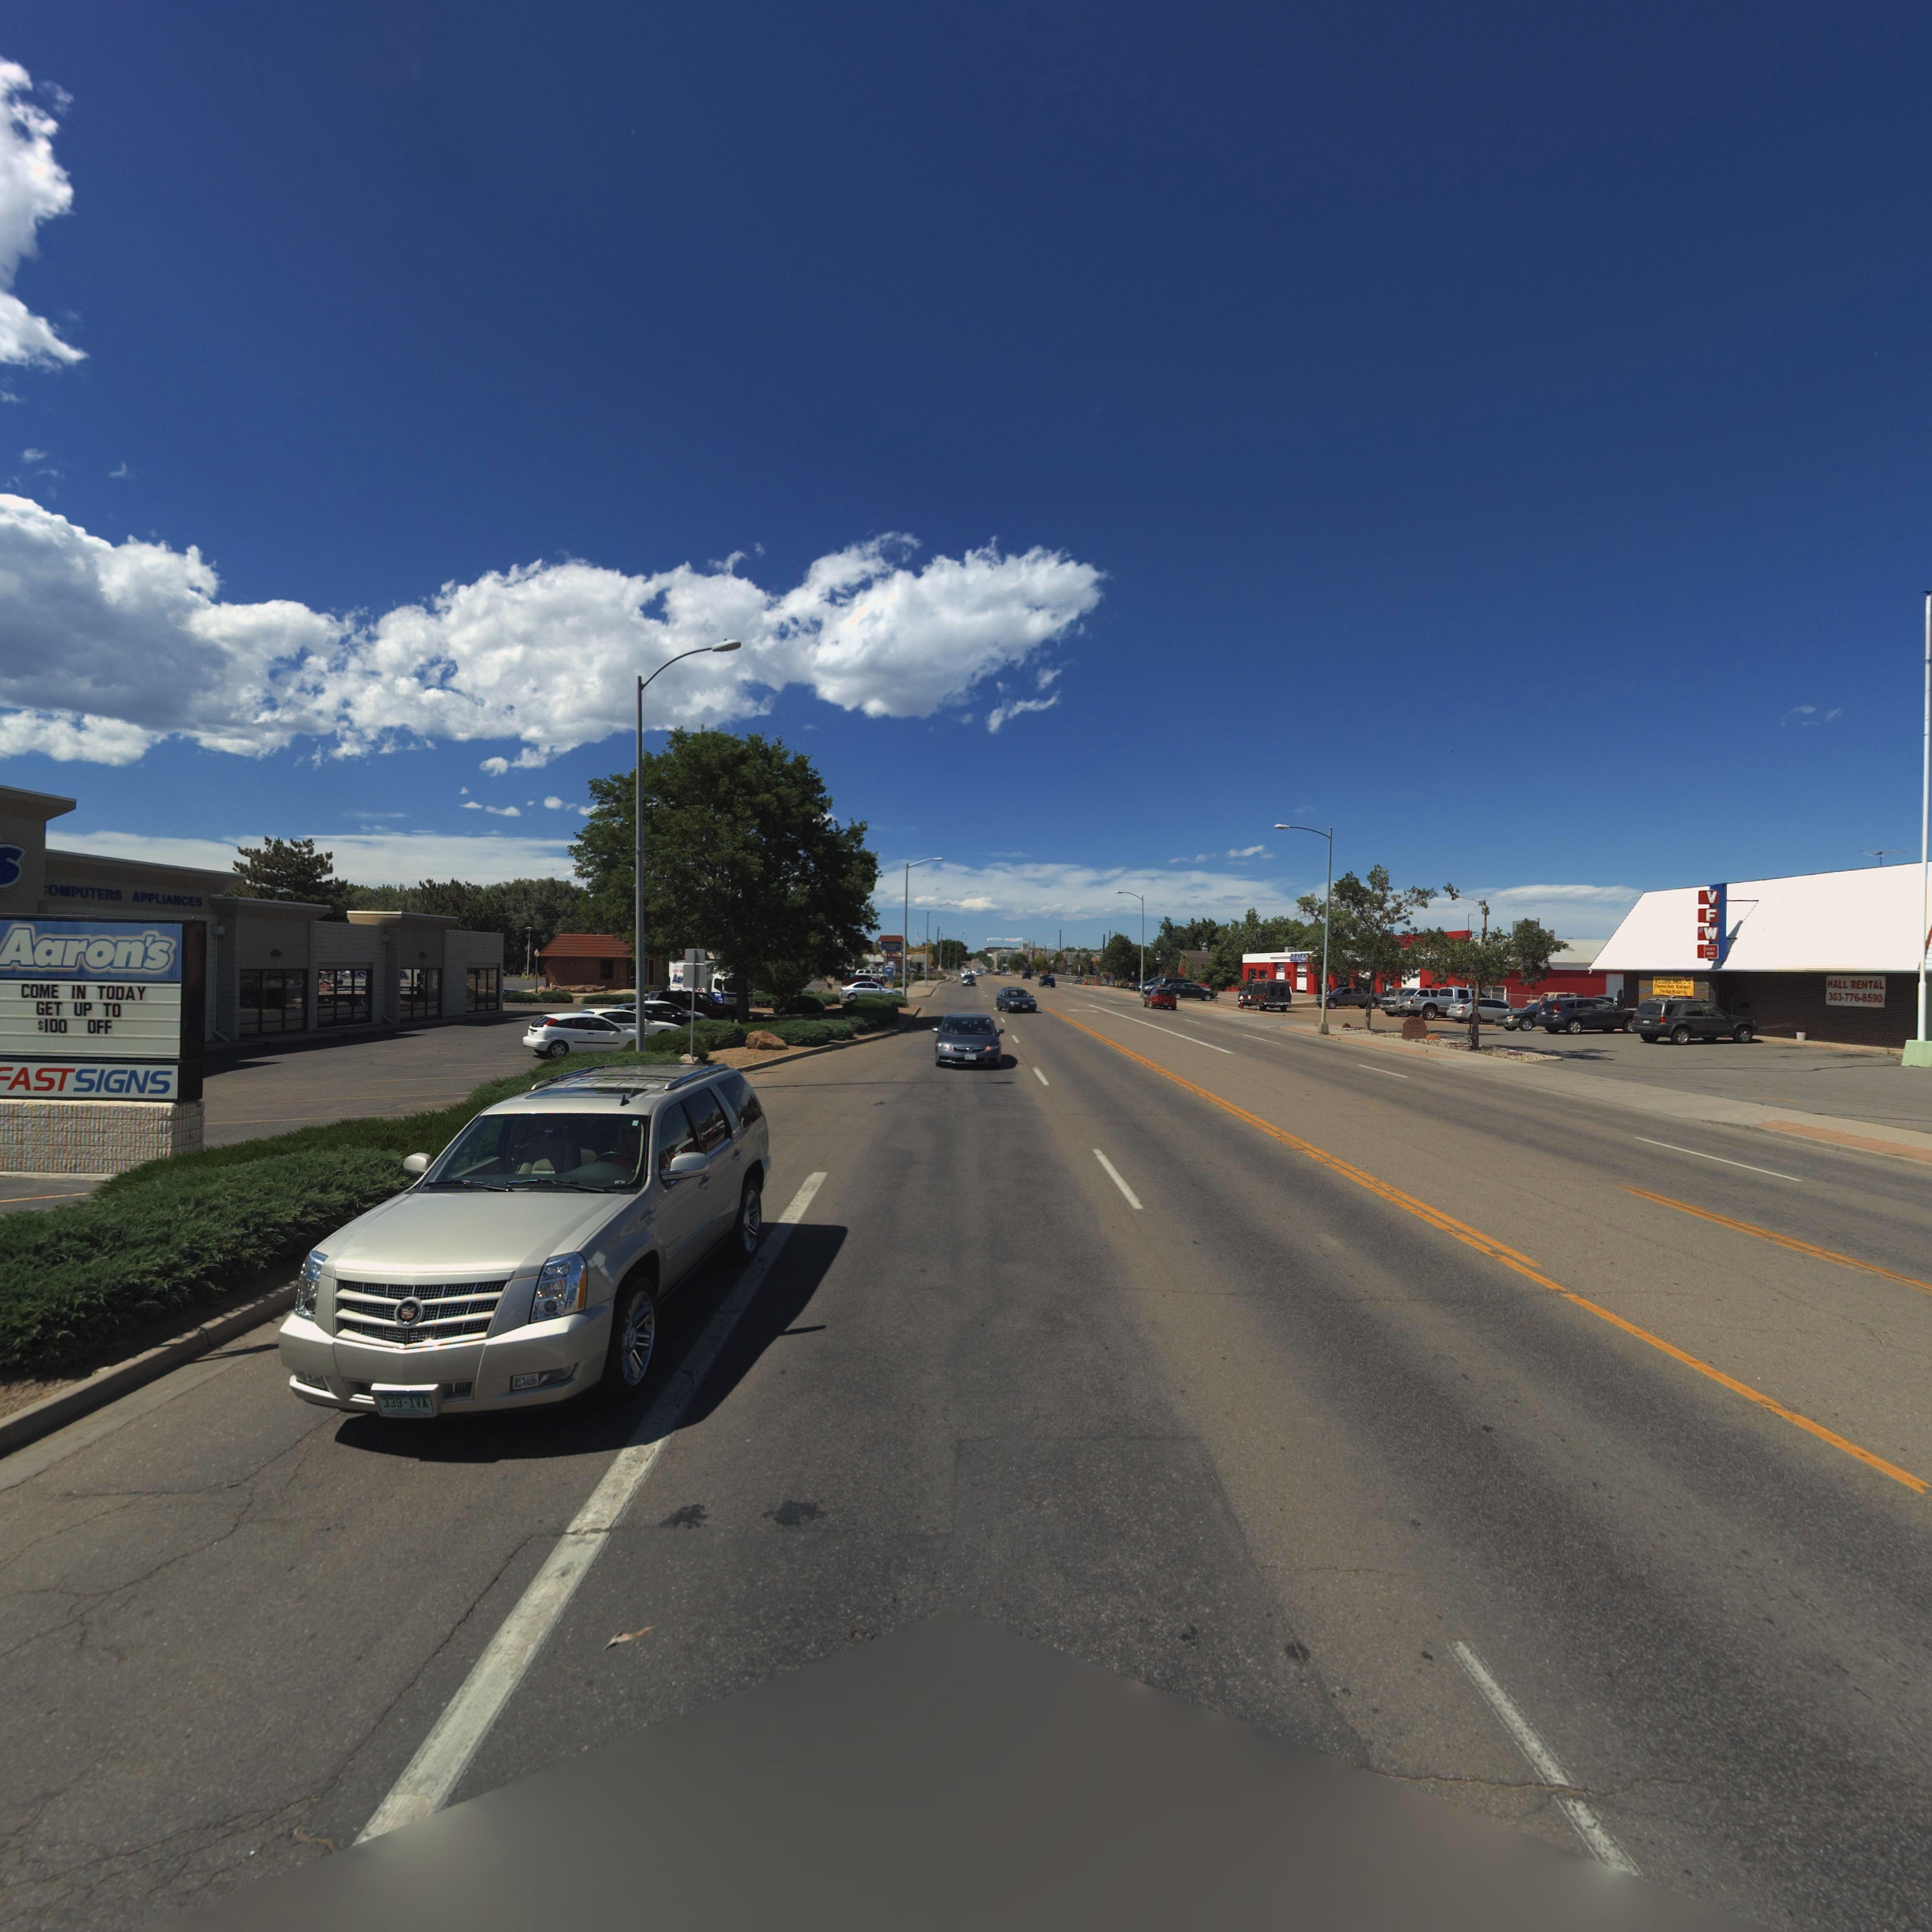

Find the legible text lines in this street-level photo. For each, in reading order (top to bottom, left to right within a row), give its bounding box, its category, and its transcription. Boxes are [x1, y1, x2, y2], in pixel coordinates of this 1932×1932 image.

[1704, 890, 1718, 939] BusinessName: VFW
[0, 921, 176, 973] BusinessName: Aaron*s
[1289, 953, 1309, 961] BusinessName: HAYES
[1408, 1019, 1422, 1025] BusinessName: VFW
[4, 1063, 176, 1095] BusinessName: ASTSIGNS